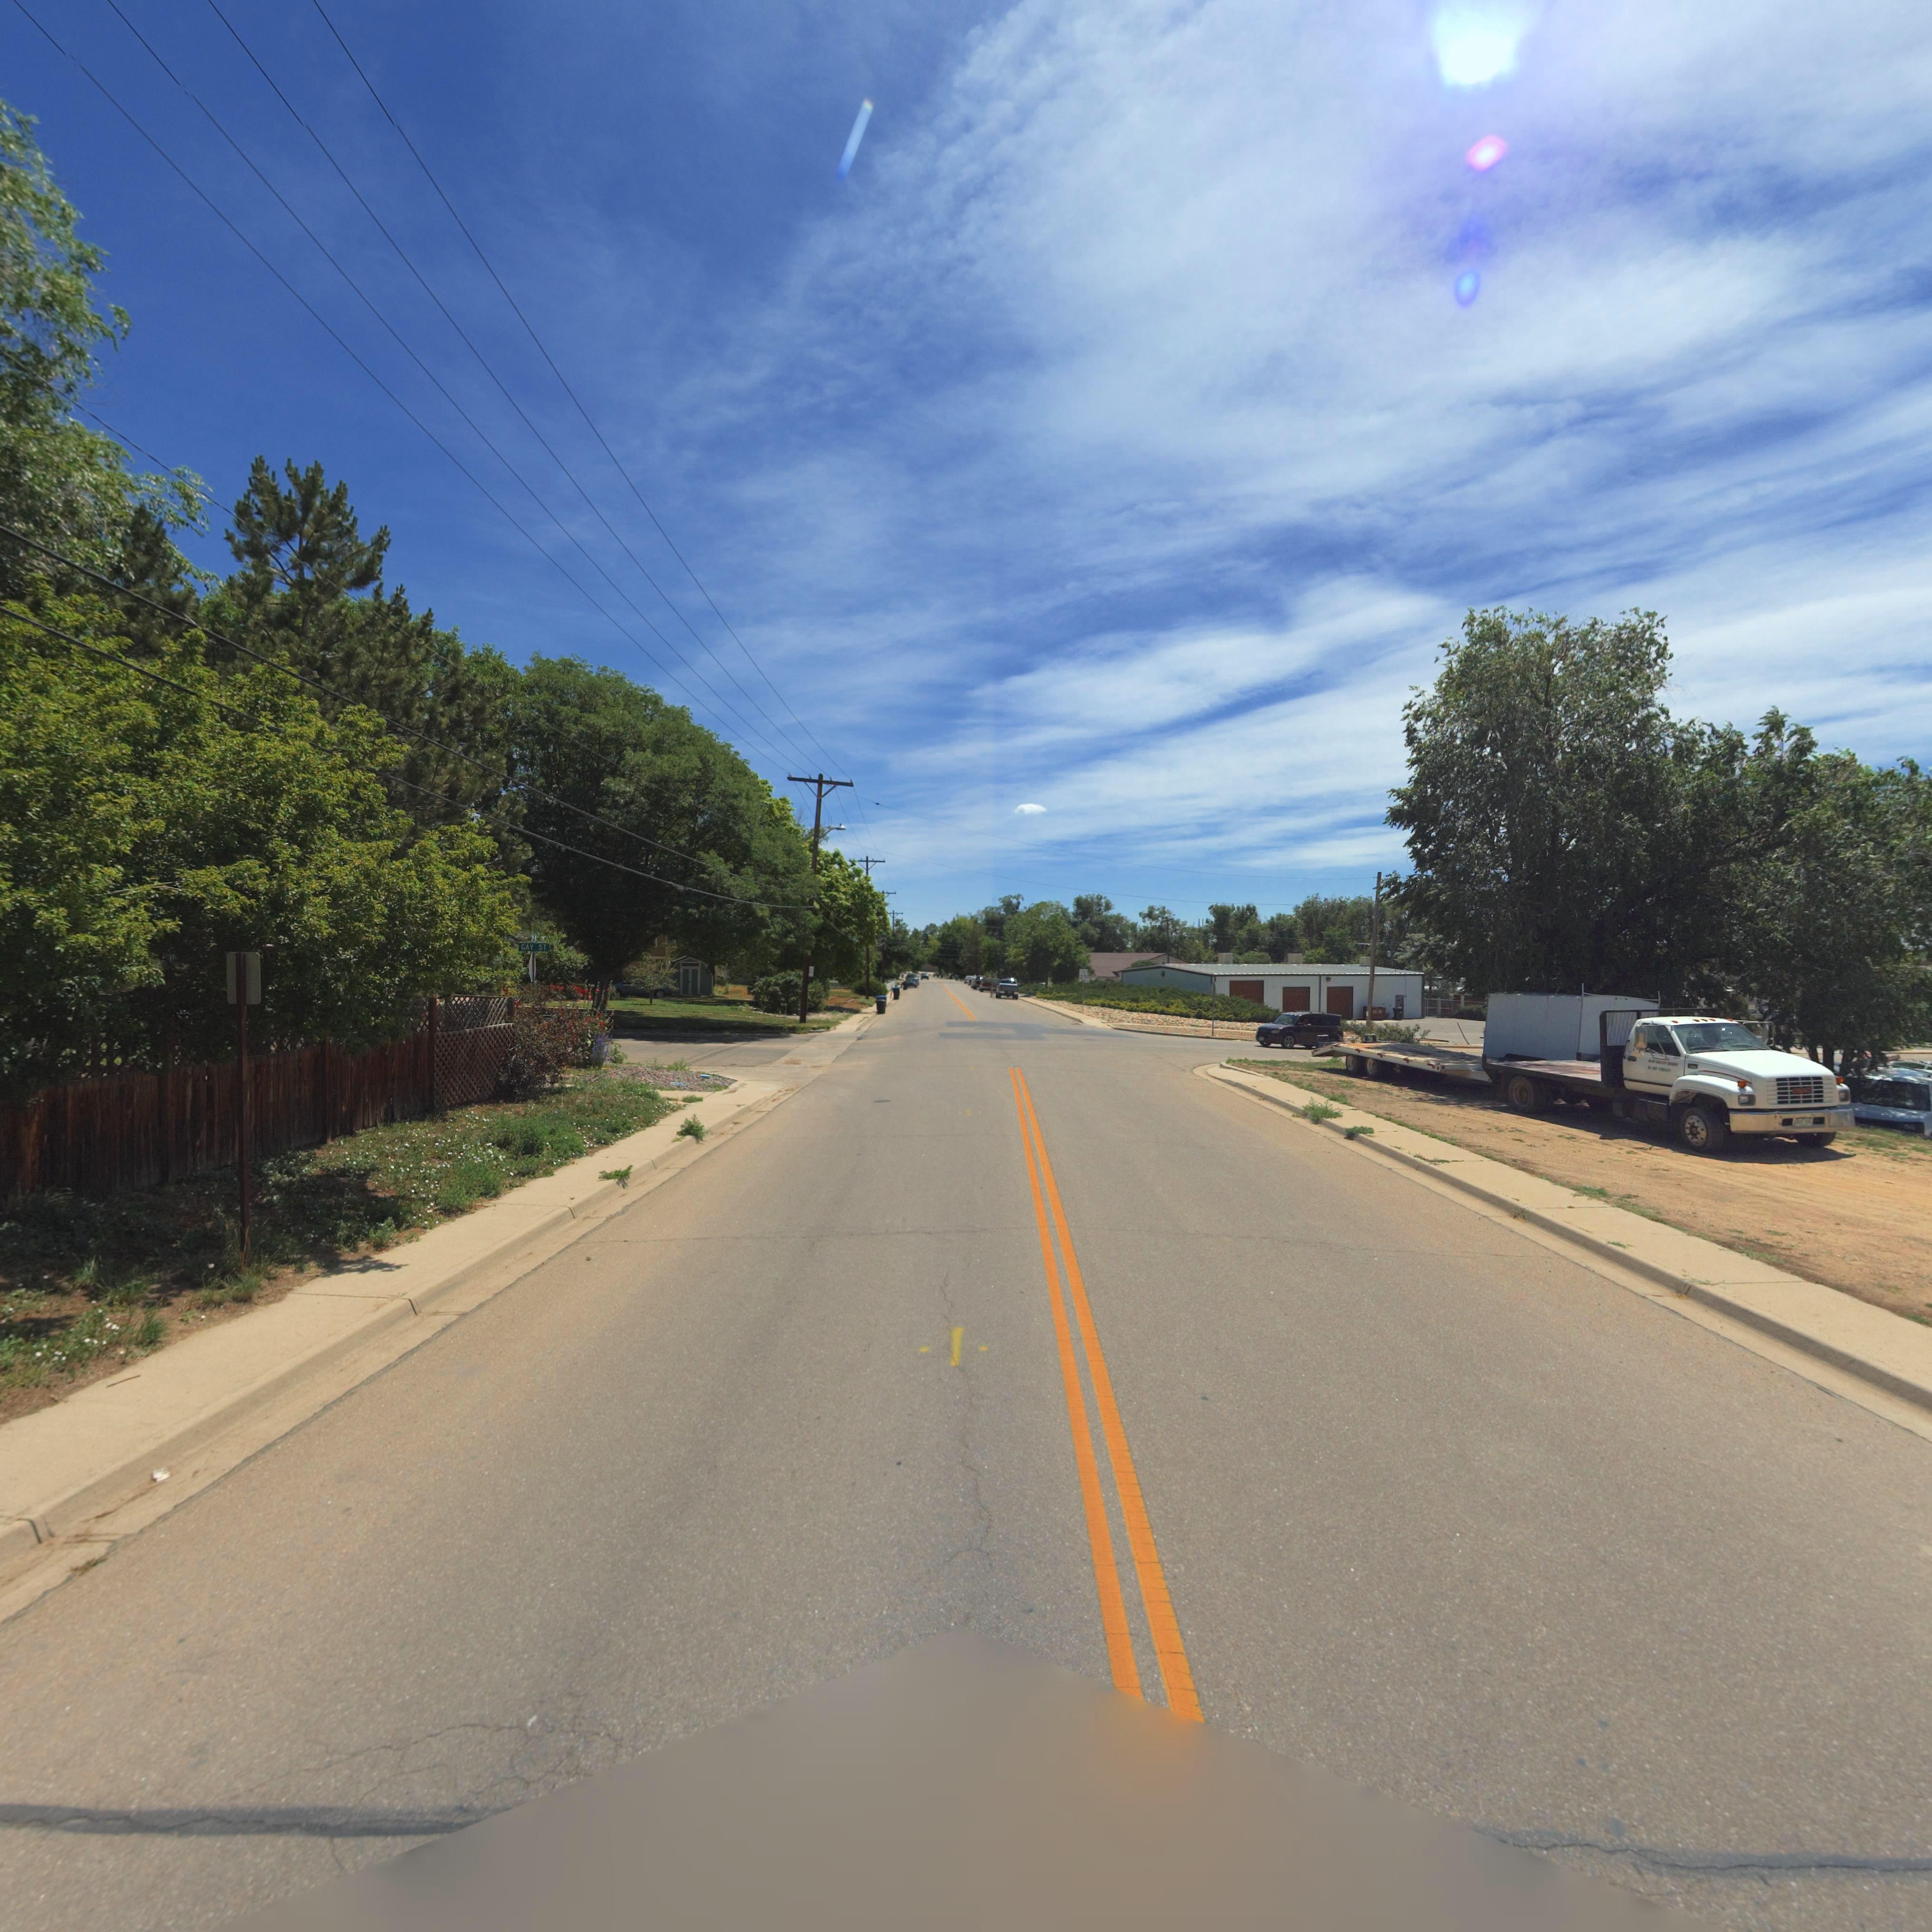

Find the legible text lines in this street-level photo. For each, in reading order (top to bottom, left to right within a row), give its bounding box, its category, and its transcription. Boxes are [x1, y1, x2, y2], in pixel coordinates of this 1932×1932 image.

[521, 944, 547, 950] StreetName: GAY ST